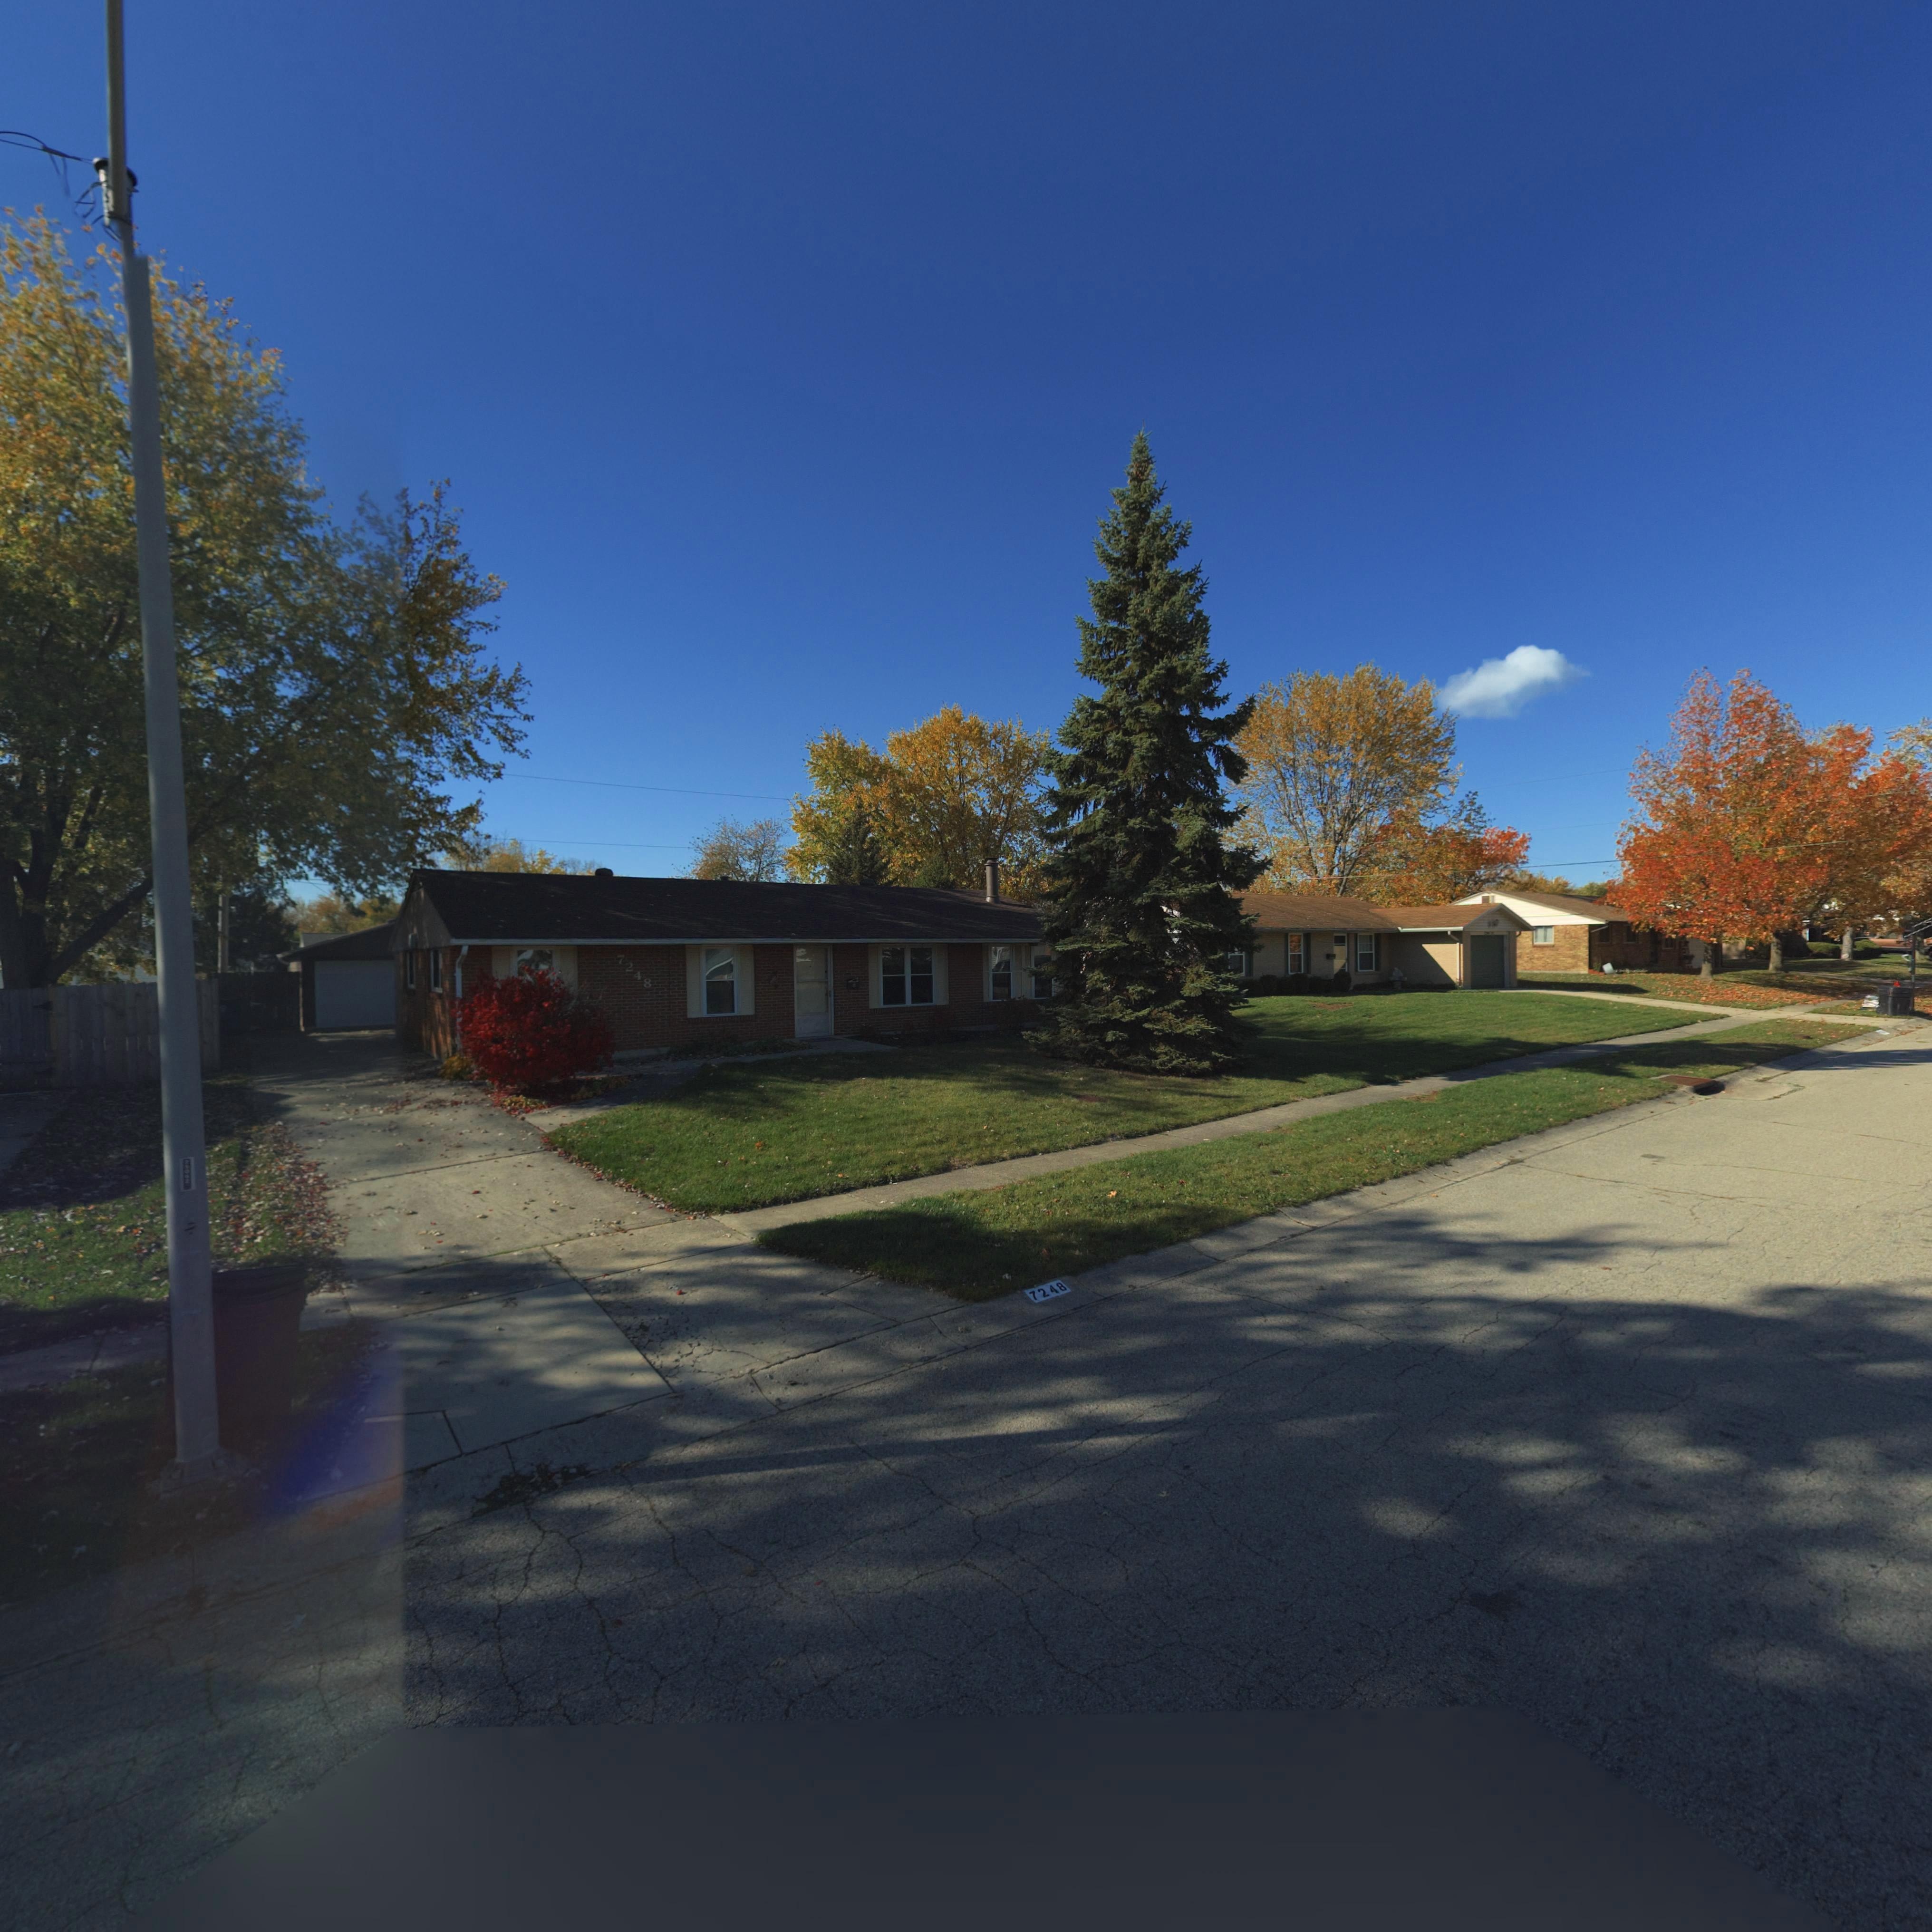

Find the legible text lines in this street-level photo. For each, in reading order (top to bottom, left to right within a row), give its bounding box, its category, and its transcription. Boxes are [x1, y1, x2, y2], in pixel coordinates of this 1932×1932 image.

[616, 954, 653, 990] StreetNumber: 7248
[1028, 1280, 1069, 1302] StreetNumber: 7248